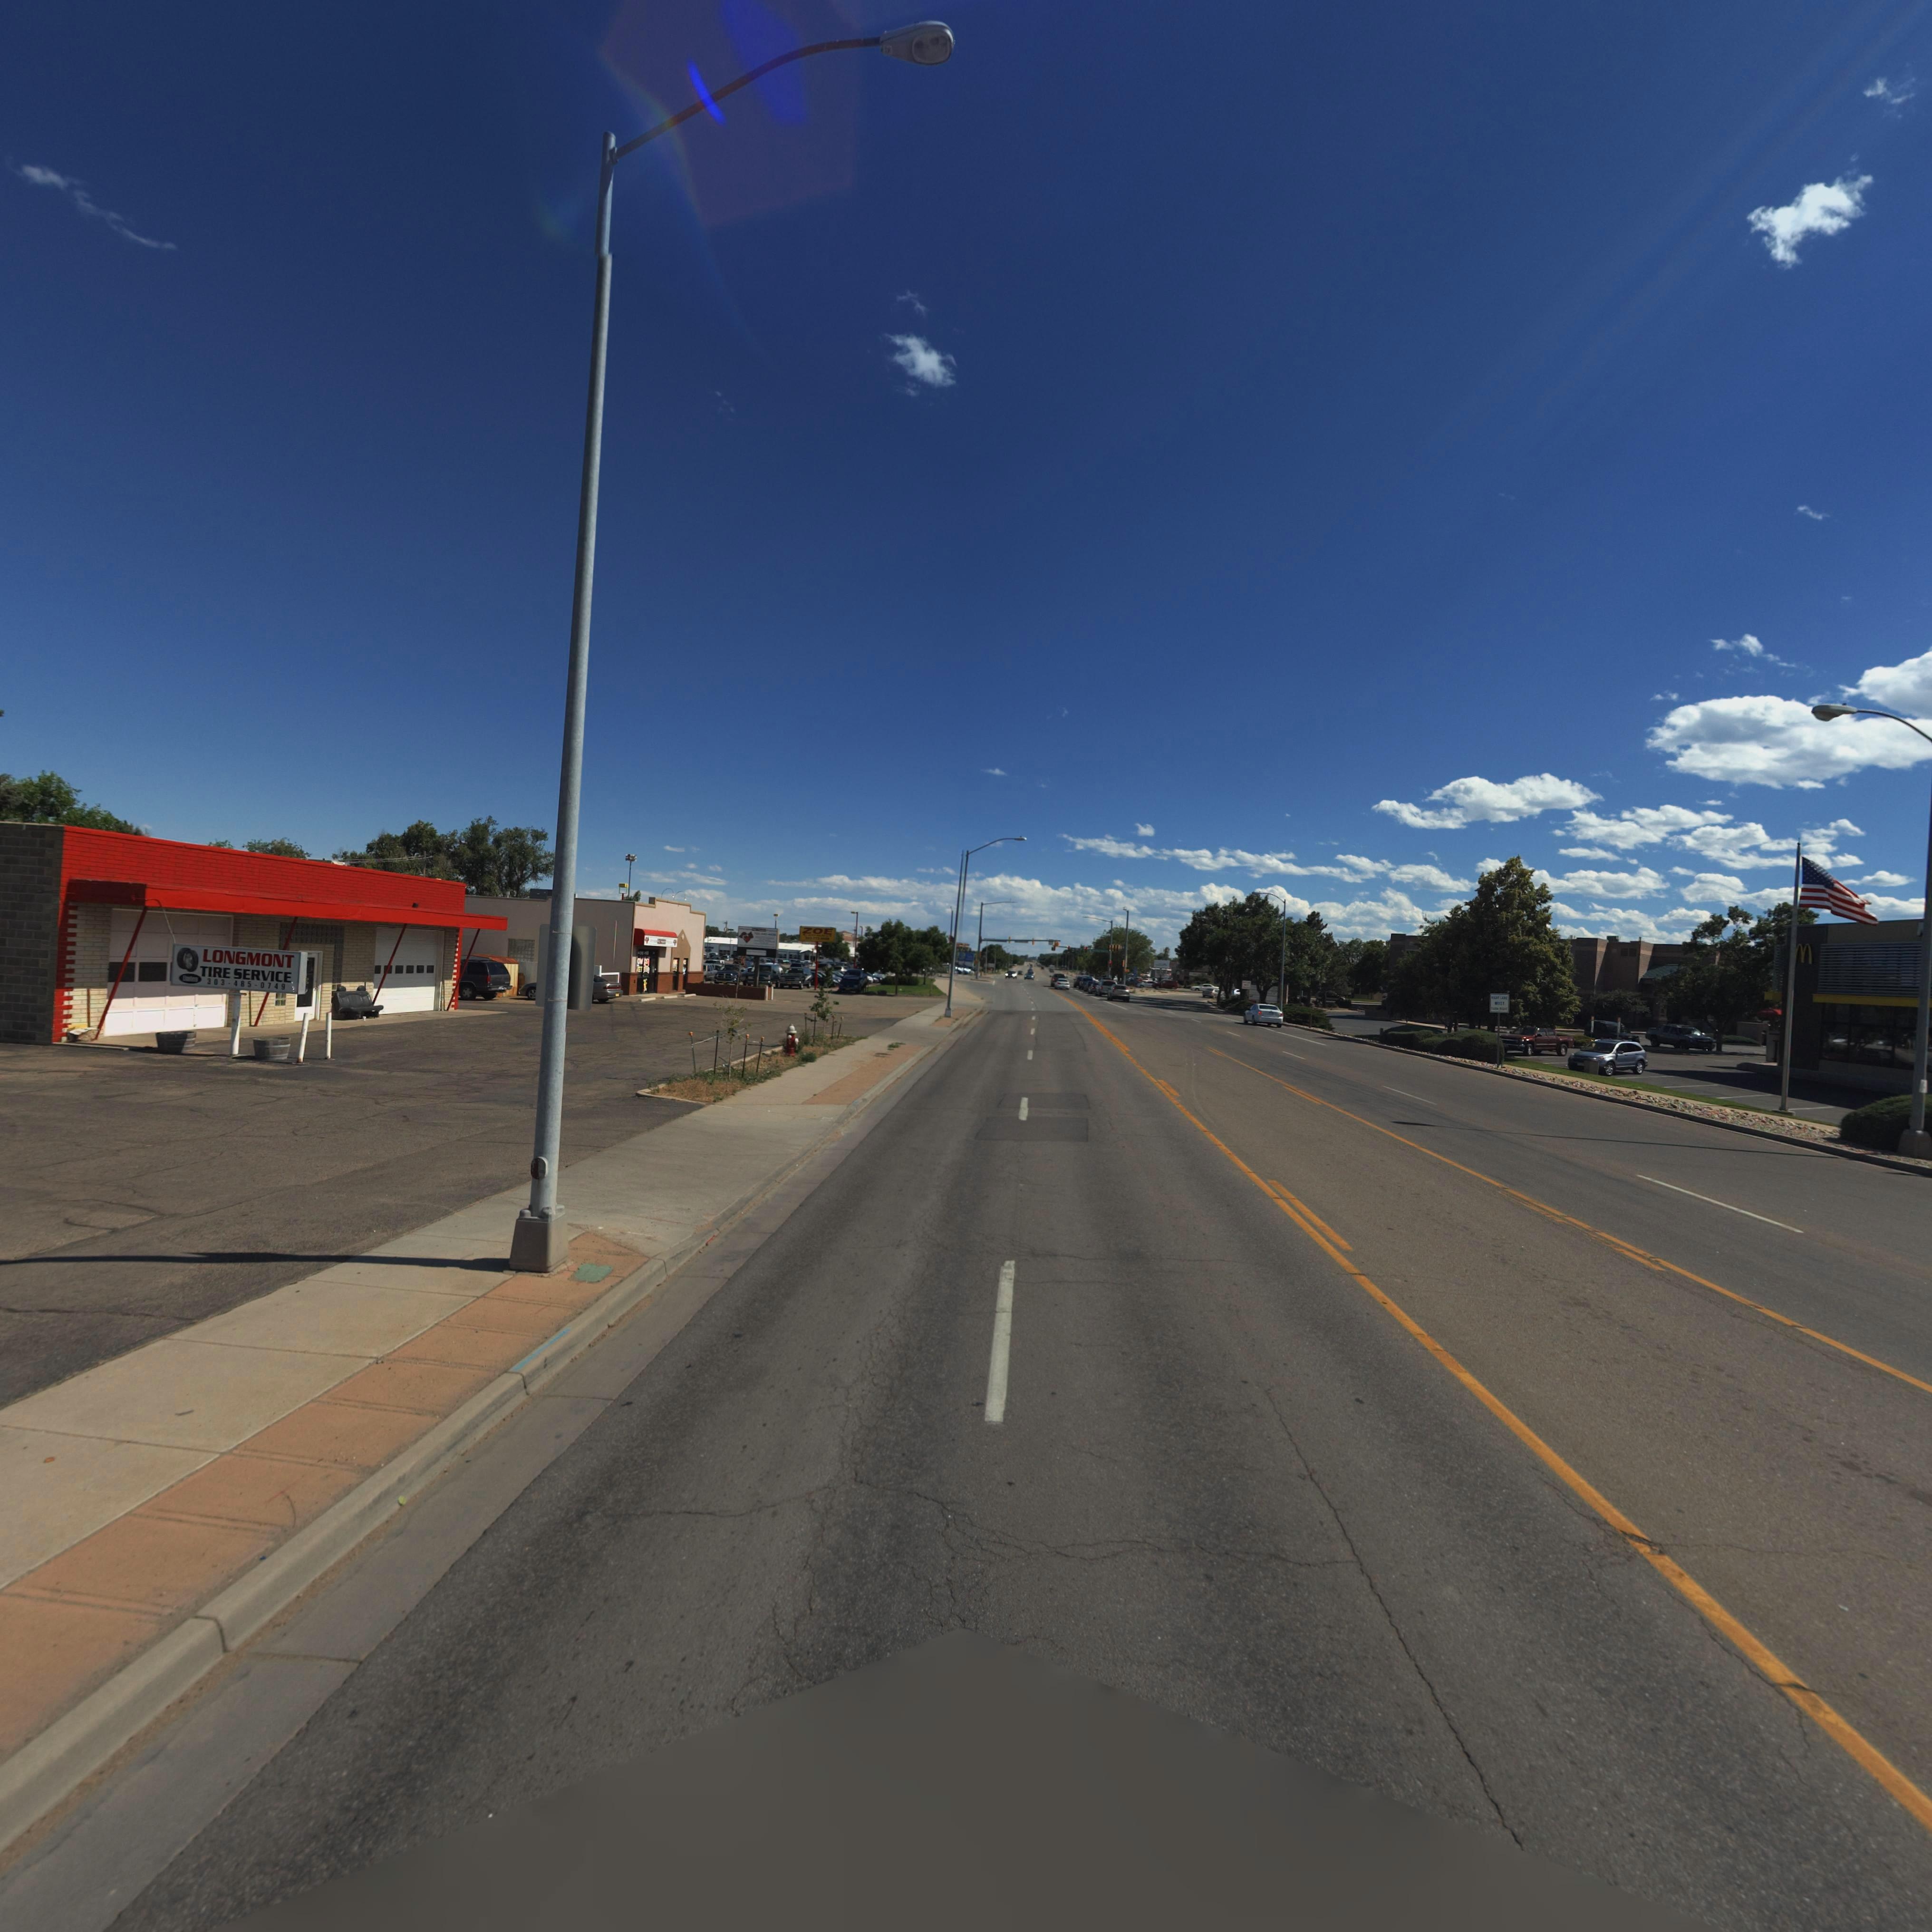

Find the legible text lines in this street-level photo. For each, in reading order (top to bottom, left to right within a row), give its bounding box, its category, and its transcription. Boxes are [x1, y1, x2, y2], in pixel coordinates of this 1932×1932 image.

[802, 927, 833, 934] BusinessName: ZOE
[202, 948, 295, 968] BusinessName: LONGMONT
[199, 965, 292, 983] BusinessName: TIRE SERVICE